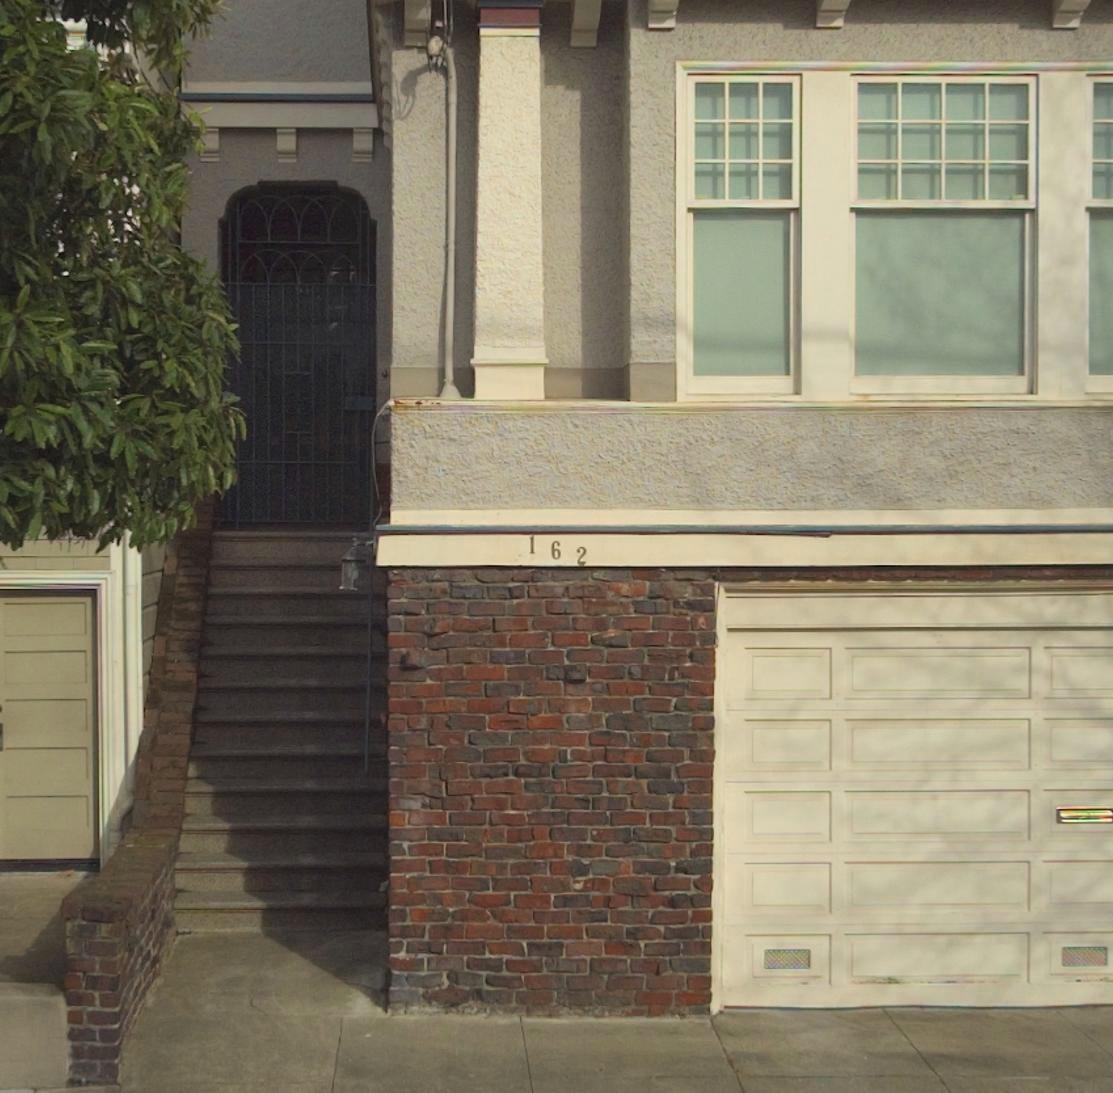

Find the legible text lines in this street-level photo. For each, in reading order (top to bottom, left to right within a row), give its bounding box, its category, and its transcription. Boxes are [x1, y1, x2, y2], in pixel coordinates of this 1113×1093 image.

[528, 533, 588, 565] StreetNumber: 162